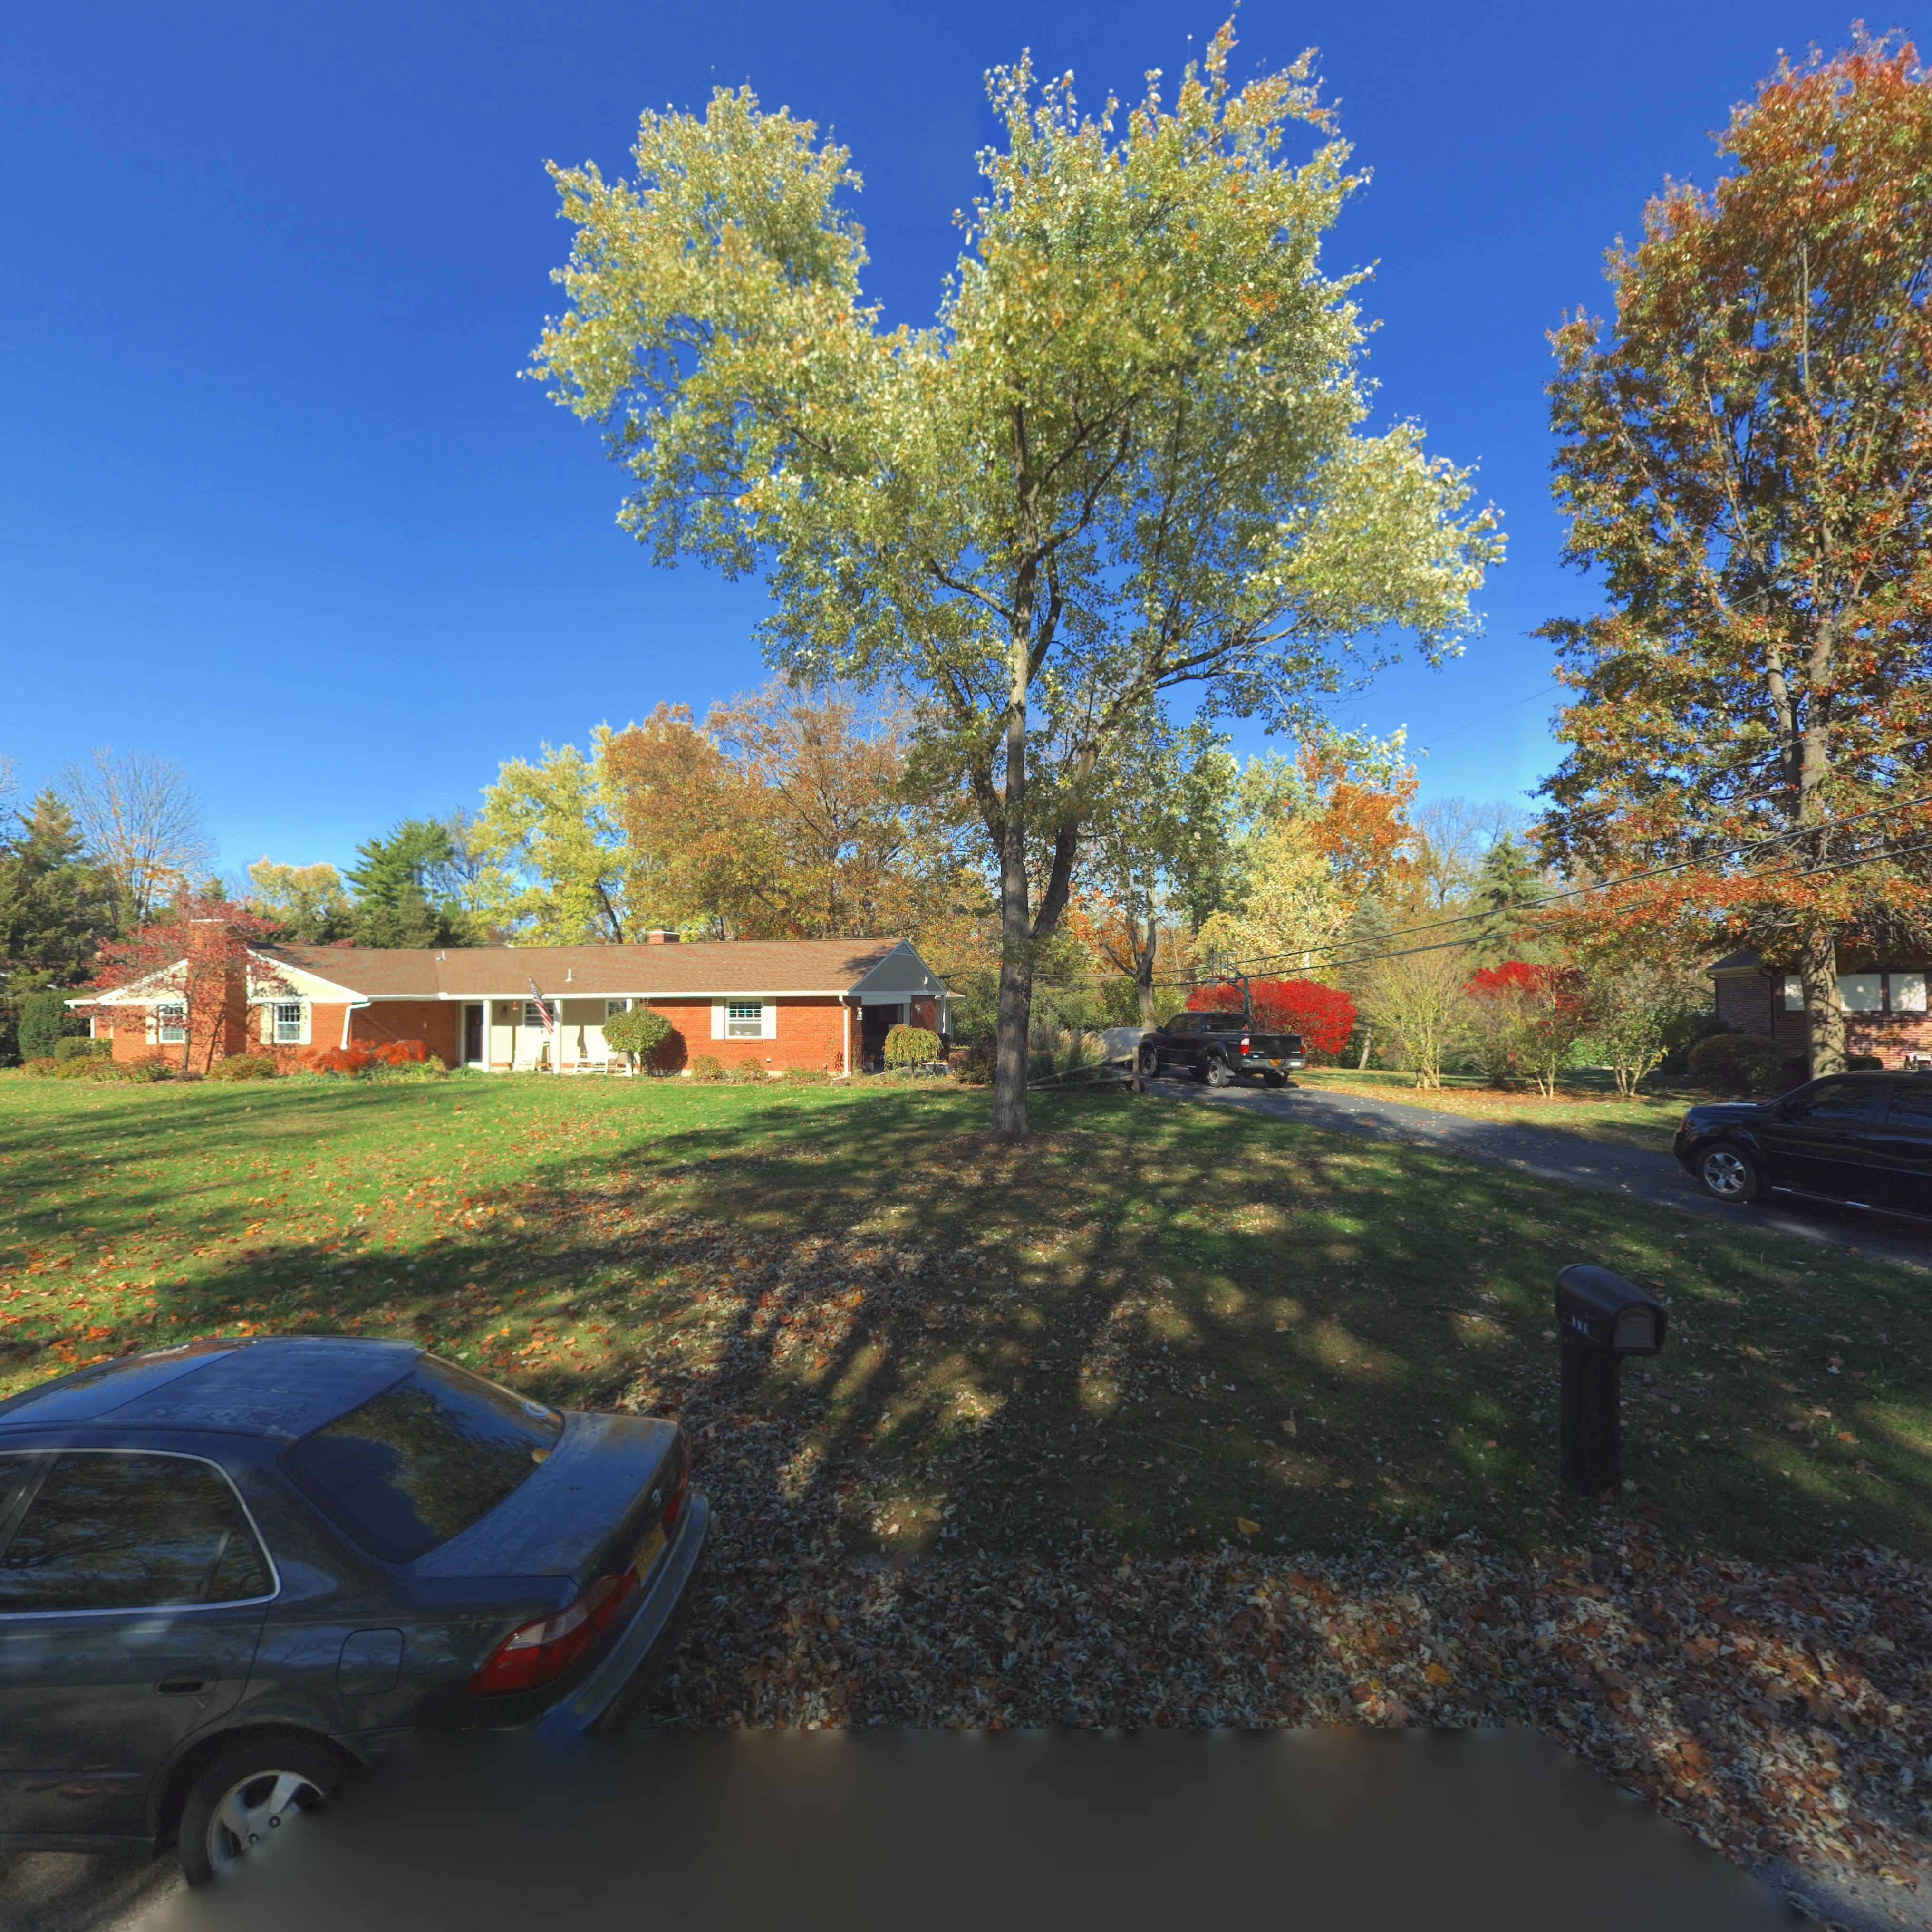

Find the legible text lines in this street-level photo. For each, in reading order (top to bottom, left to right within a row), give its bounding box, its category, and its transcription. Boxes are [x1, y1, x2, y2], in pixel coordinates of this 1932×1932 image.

[1571, 1314, 1588, 1334] StreetNumber: 379